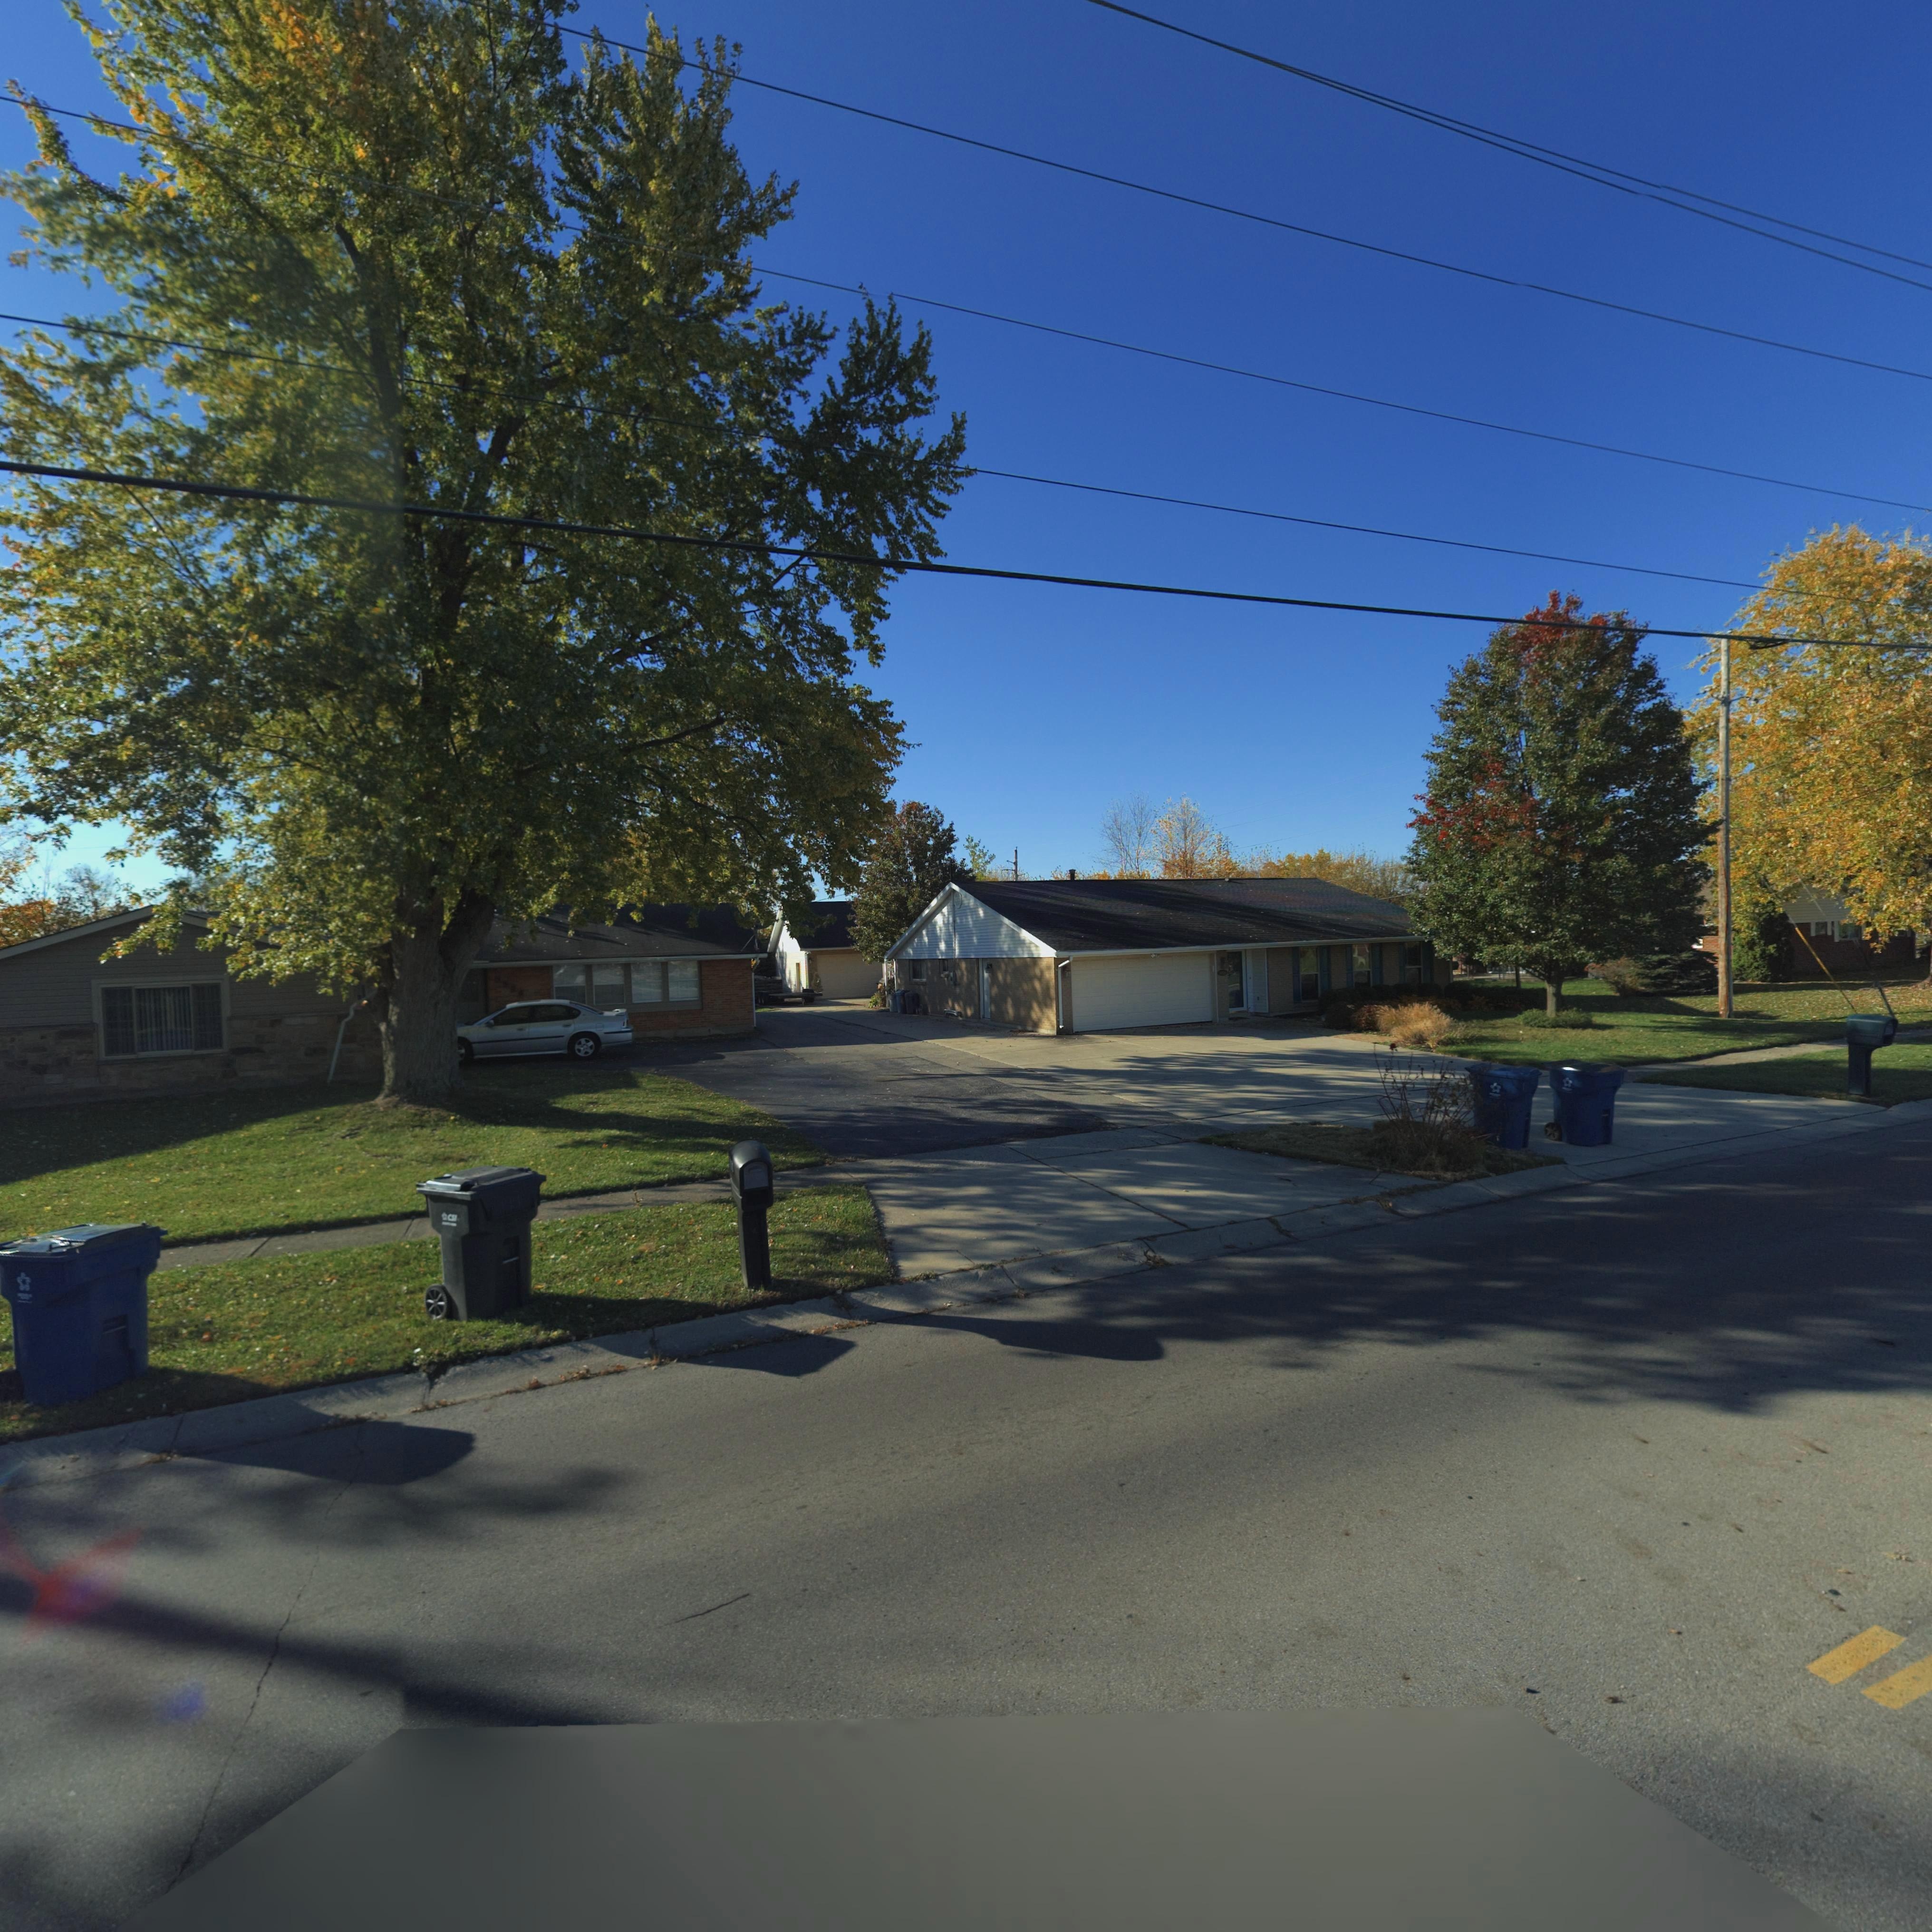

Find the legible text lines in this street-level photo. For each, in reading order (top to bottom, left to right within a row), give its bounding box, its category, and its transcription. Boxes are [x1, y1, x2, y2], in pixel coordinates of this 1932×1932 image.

[493, 975, 524, 998] StreetNumber: 5920